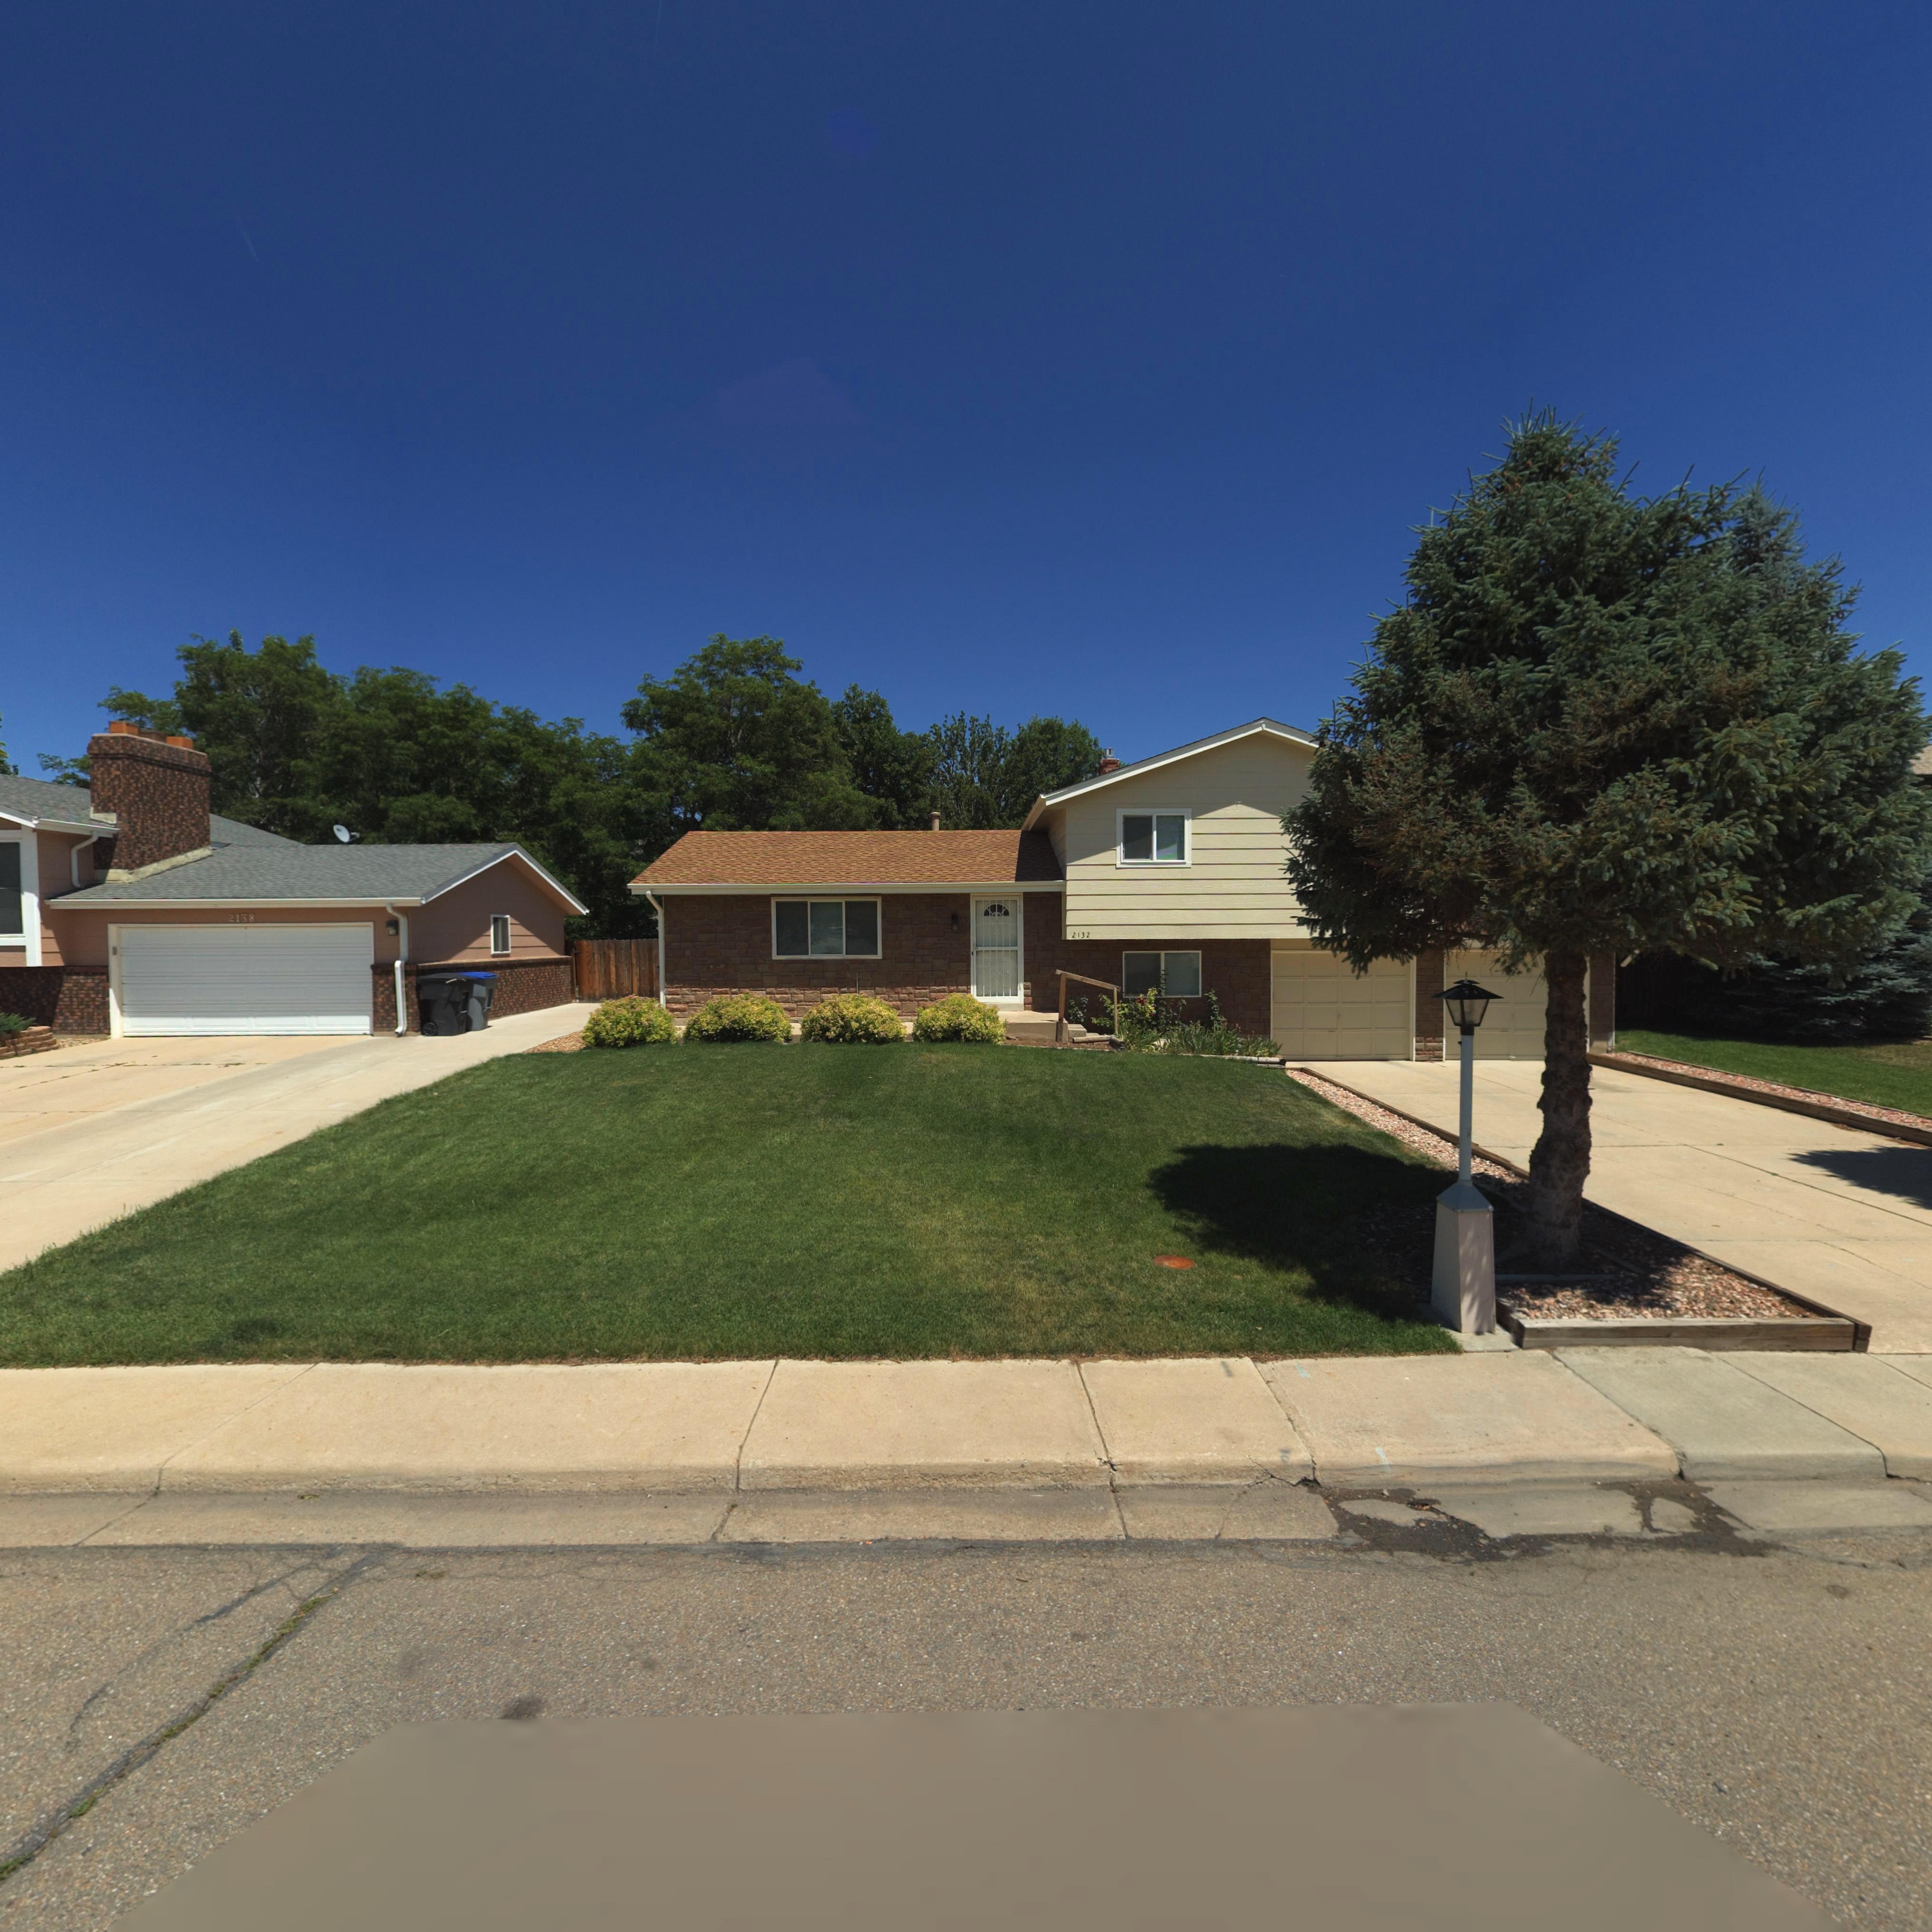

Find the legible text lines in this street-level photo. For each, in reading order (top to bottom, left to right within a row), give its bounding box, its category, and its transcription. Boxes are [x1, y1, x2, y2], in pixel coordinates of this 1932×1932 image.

[229, 914, 254, 922] StreetNumber: 2138
[1071, 931, 1090, 938] StreetNumber: 2132